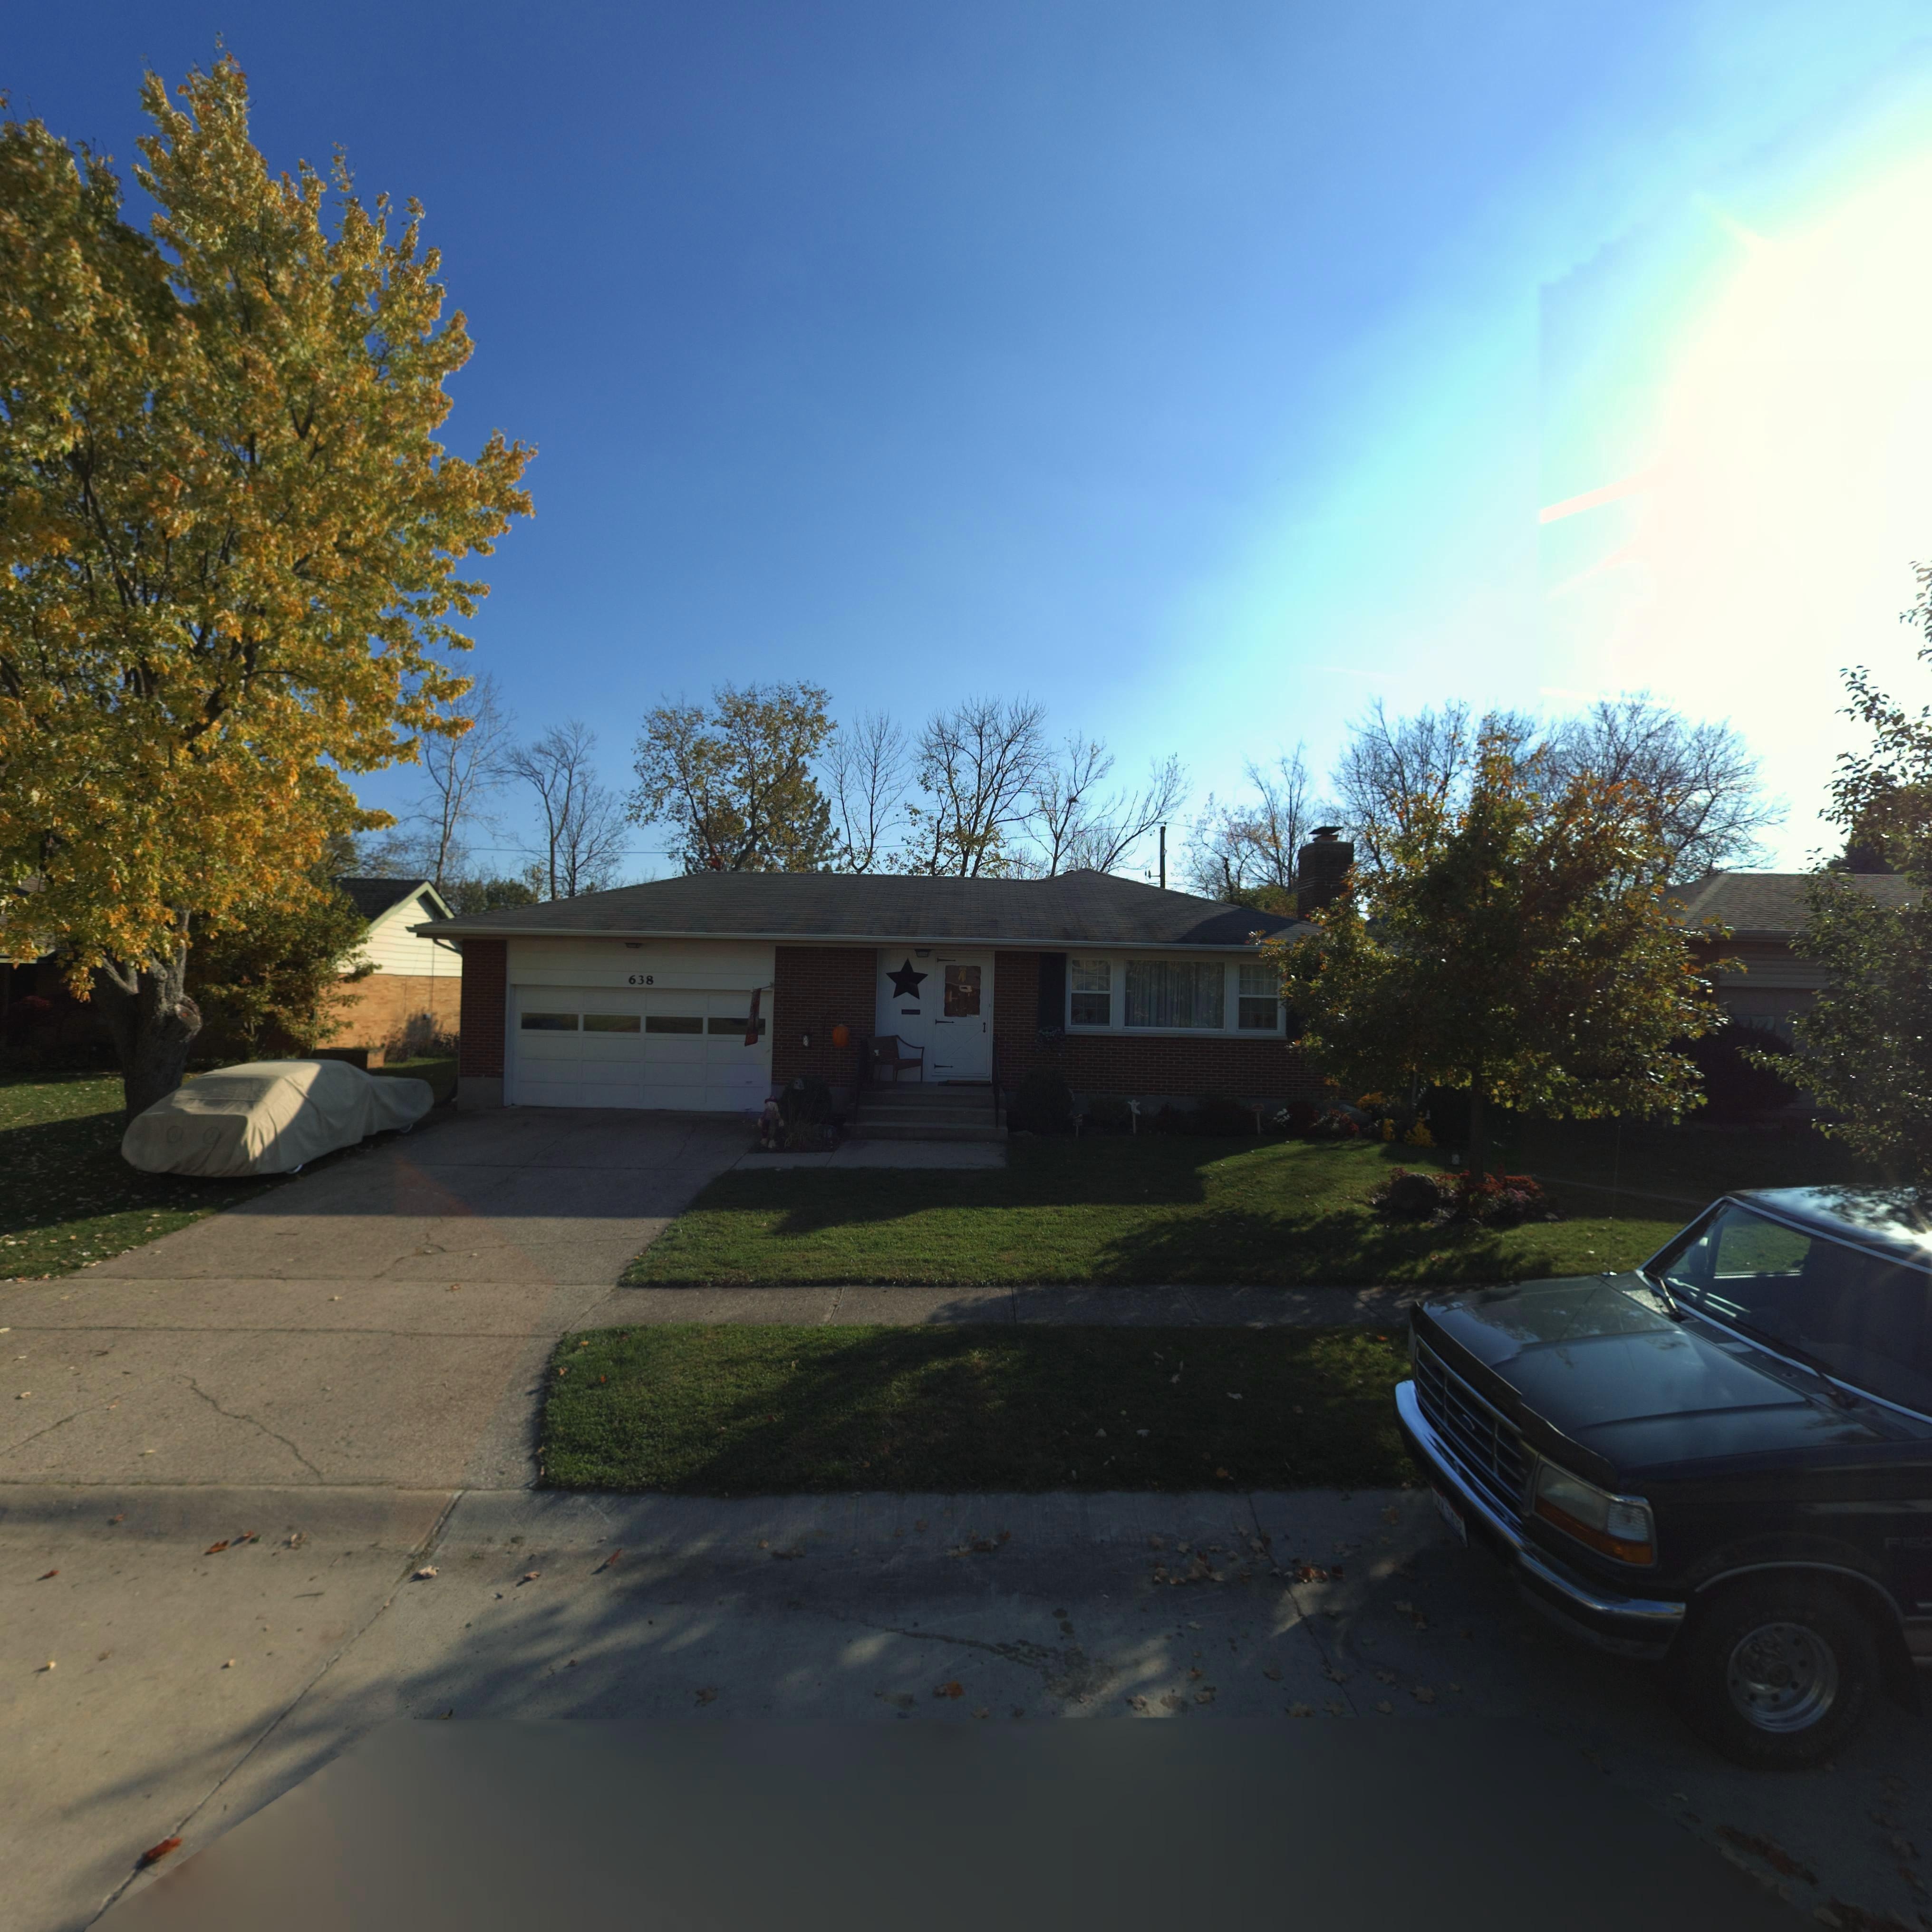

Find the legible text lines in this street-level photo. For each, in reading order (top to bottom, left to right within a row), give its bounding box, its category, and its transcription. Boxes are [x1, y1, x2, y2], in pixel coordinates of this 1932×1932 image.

[628, 975, 654, 985] StreetNumber: 638